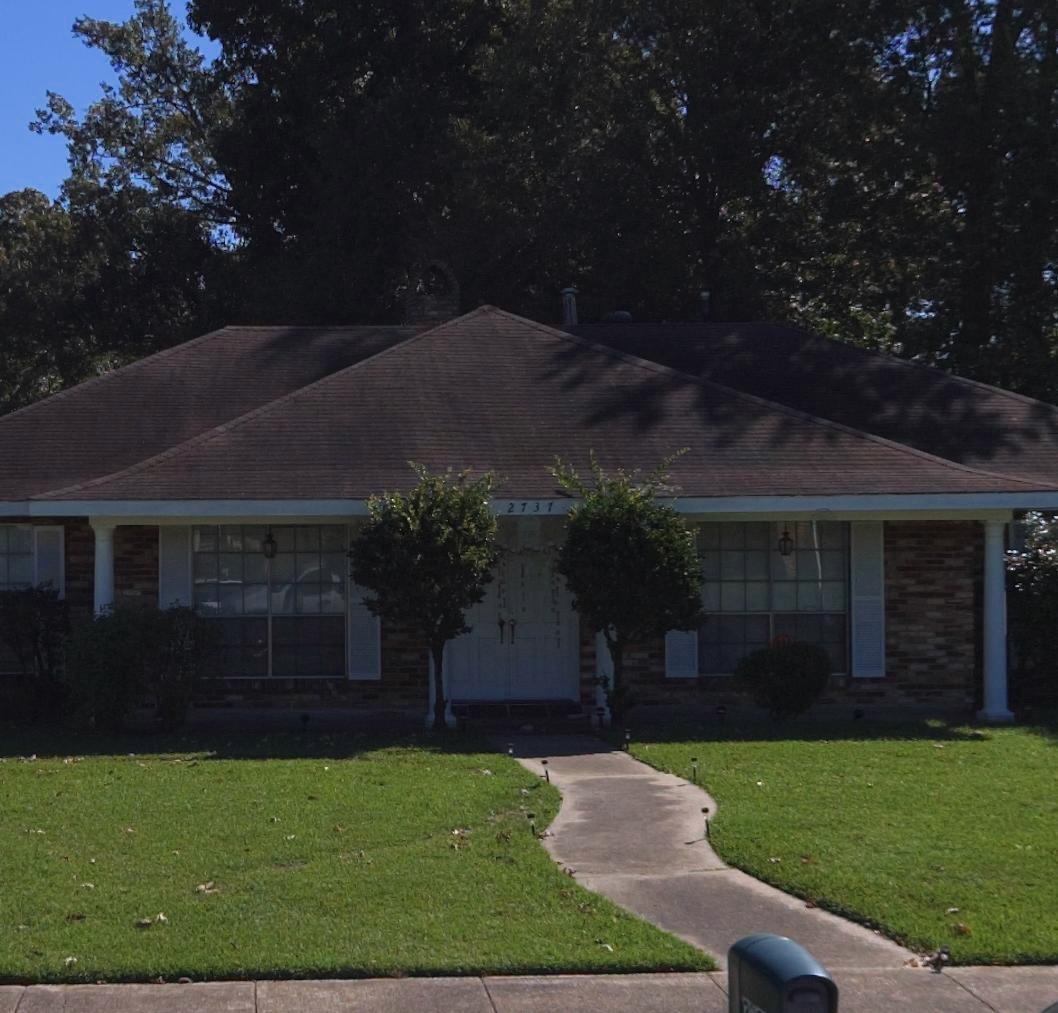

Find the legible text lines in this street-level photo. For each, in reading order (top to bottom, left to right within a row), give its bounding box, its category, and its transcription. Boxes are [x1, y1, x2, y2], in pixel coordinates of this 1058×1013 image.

[505, 501, 556, 514] StreetNumber: 2737